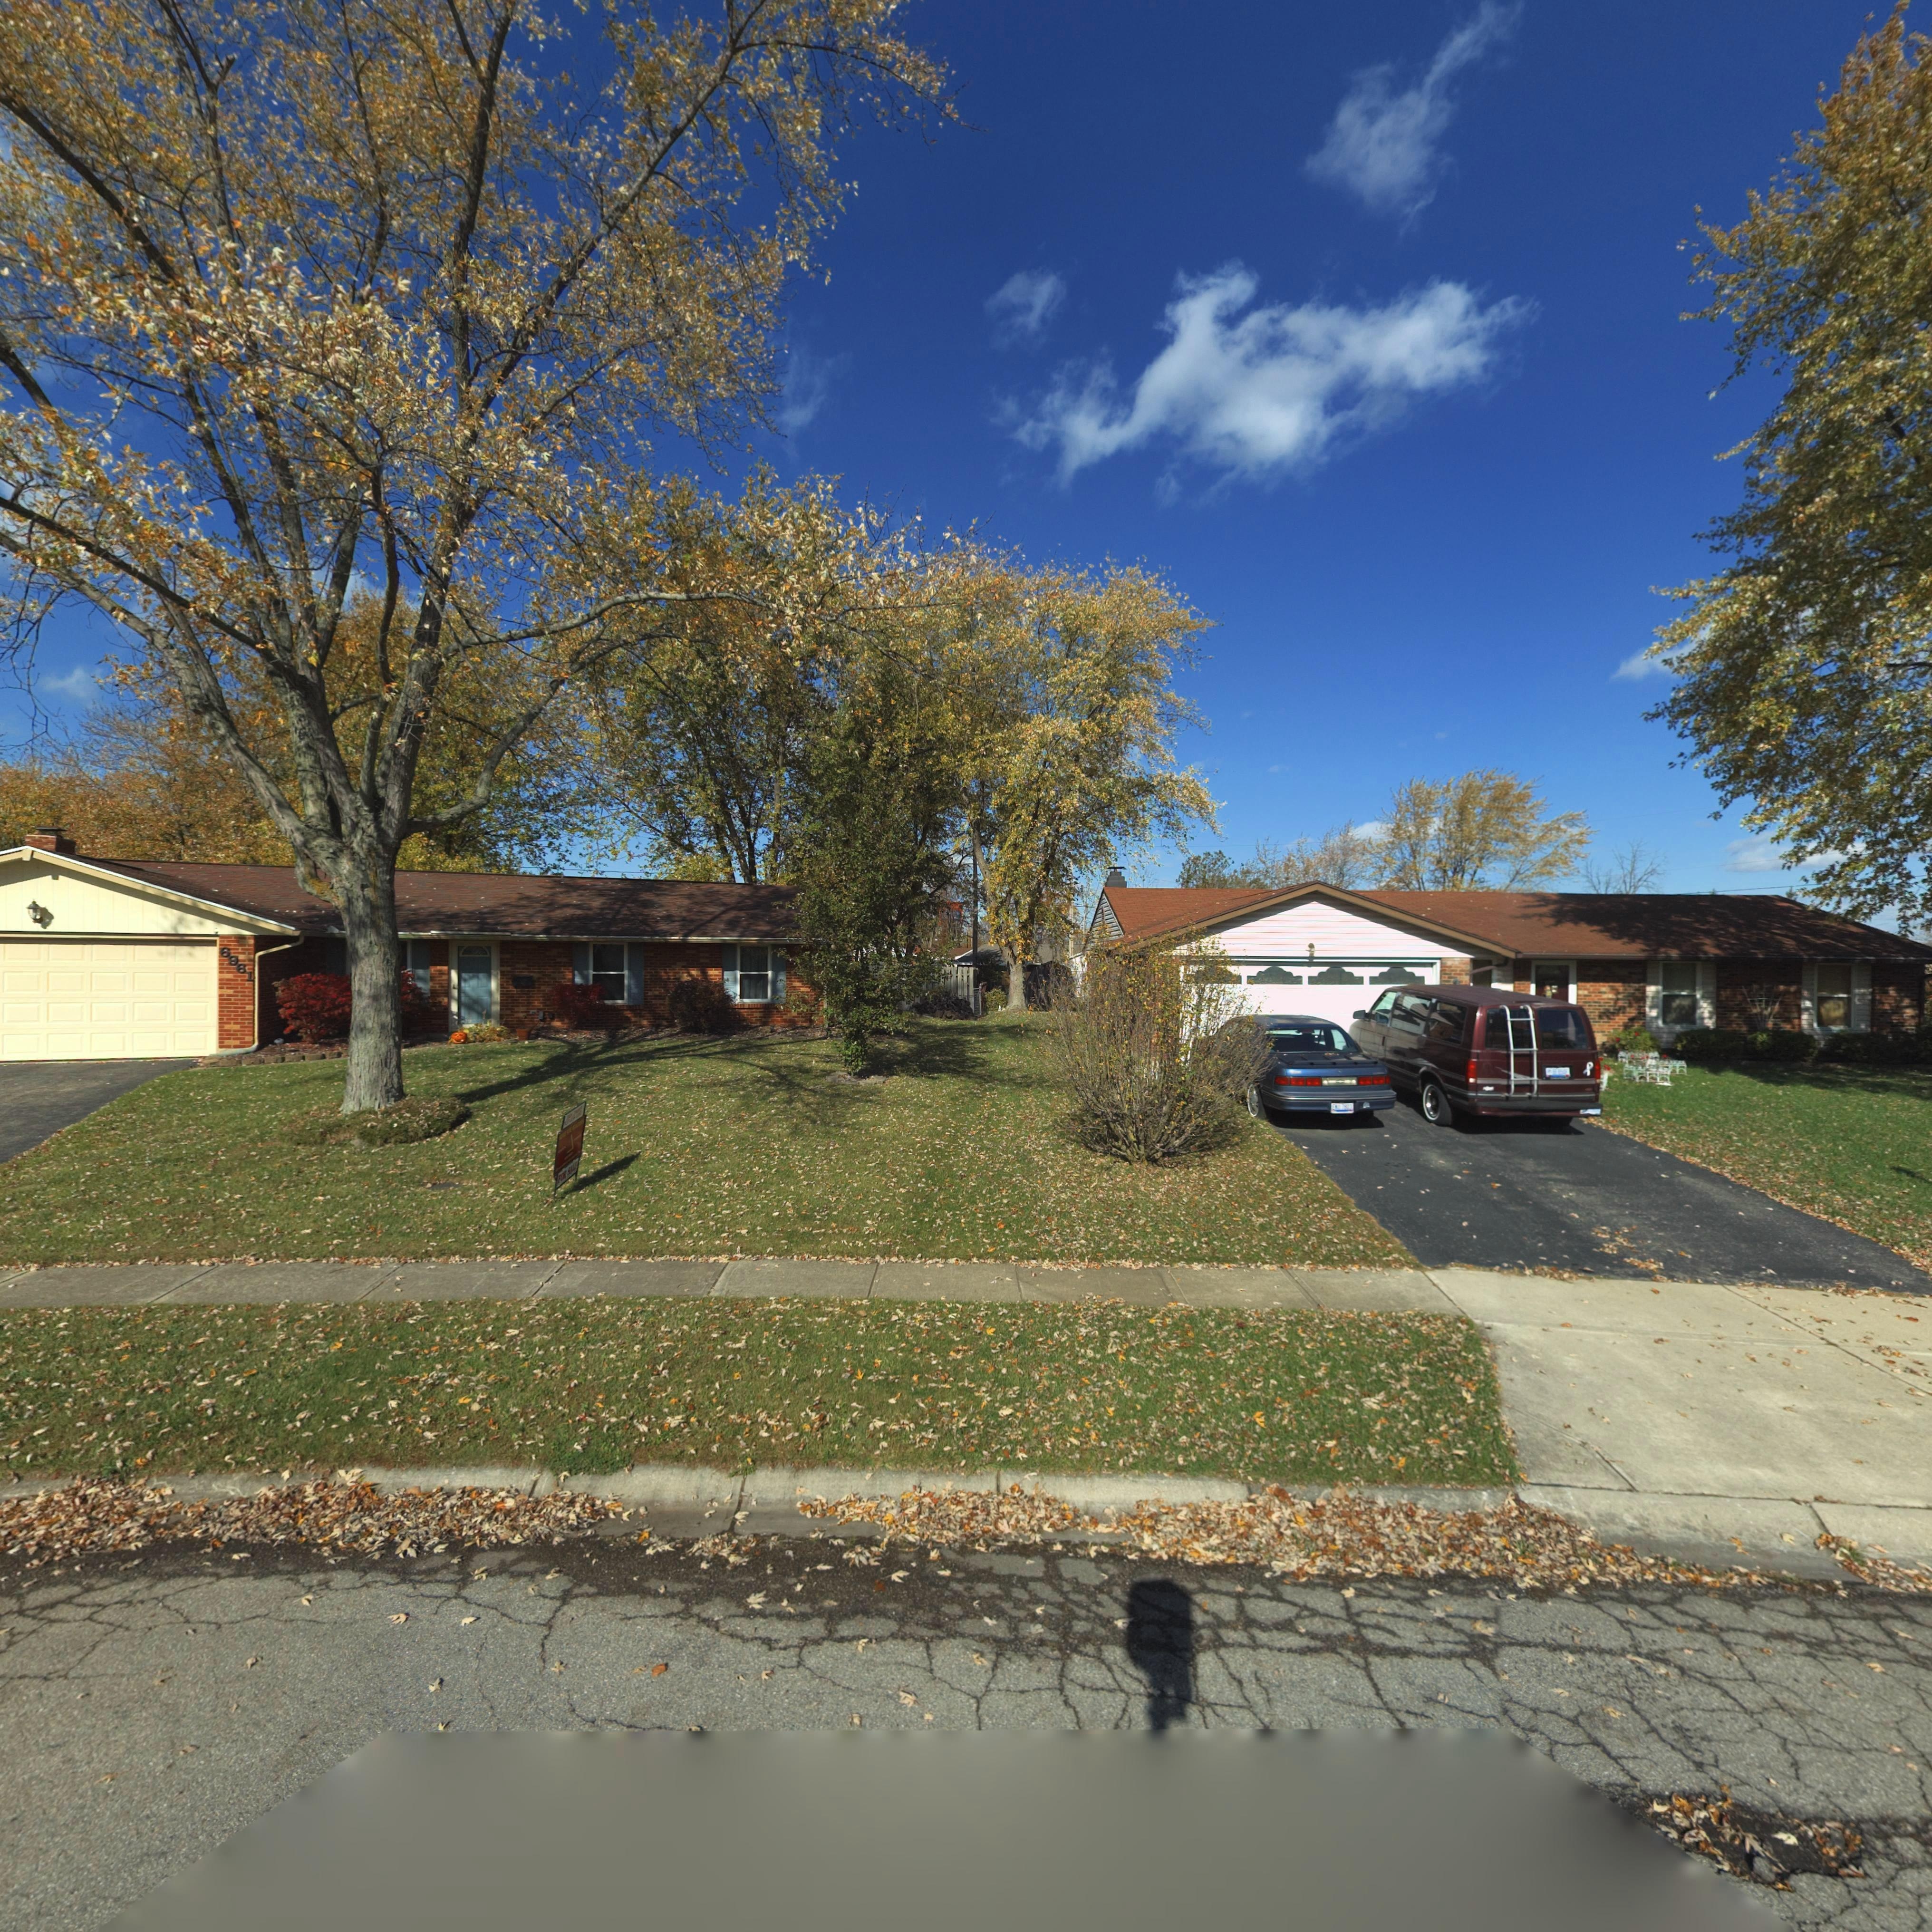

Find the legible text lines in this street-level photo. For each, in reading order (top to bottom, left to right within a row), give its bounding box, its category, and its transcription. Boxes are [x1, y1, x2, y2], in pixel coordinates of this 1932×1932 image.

[219, 946, 254, 983] StreetNumber: 6961